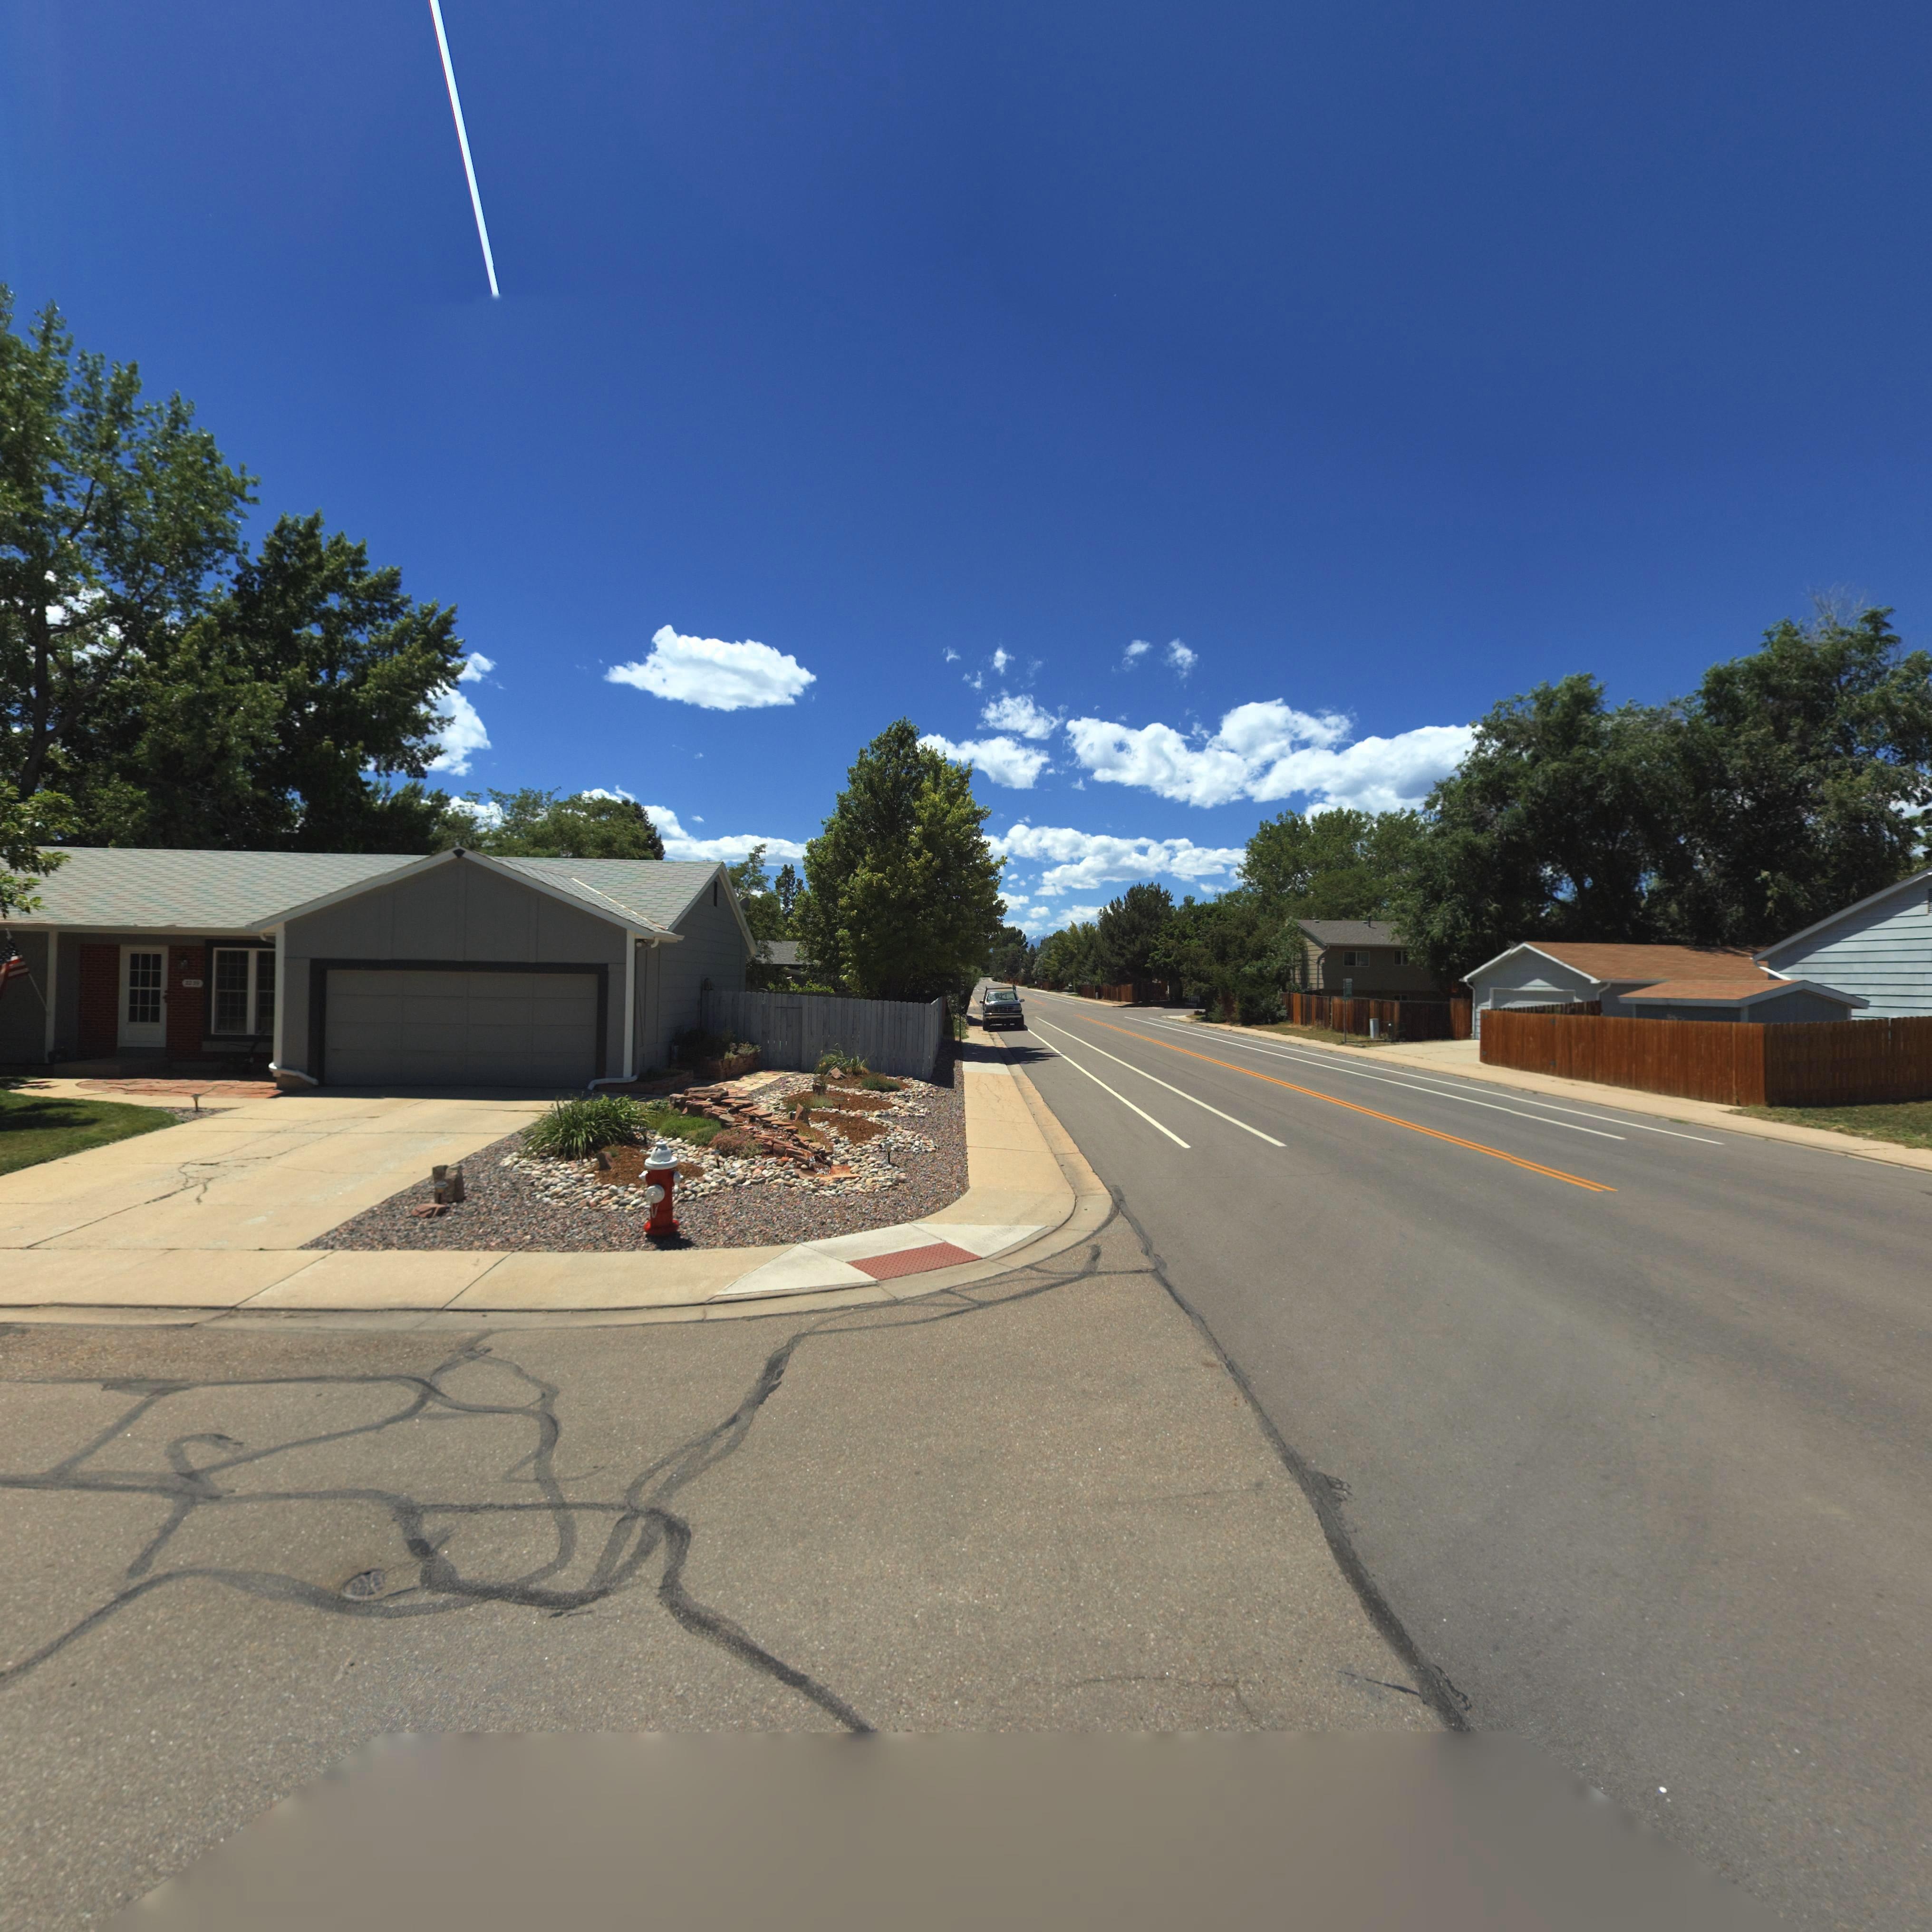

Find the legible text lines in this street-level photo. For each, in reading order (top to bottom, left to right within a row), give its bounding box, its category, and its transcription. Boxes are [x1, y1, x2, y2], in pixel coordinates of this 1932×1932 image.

[184, 980, 200, 986] StreetNumber: 2239